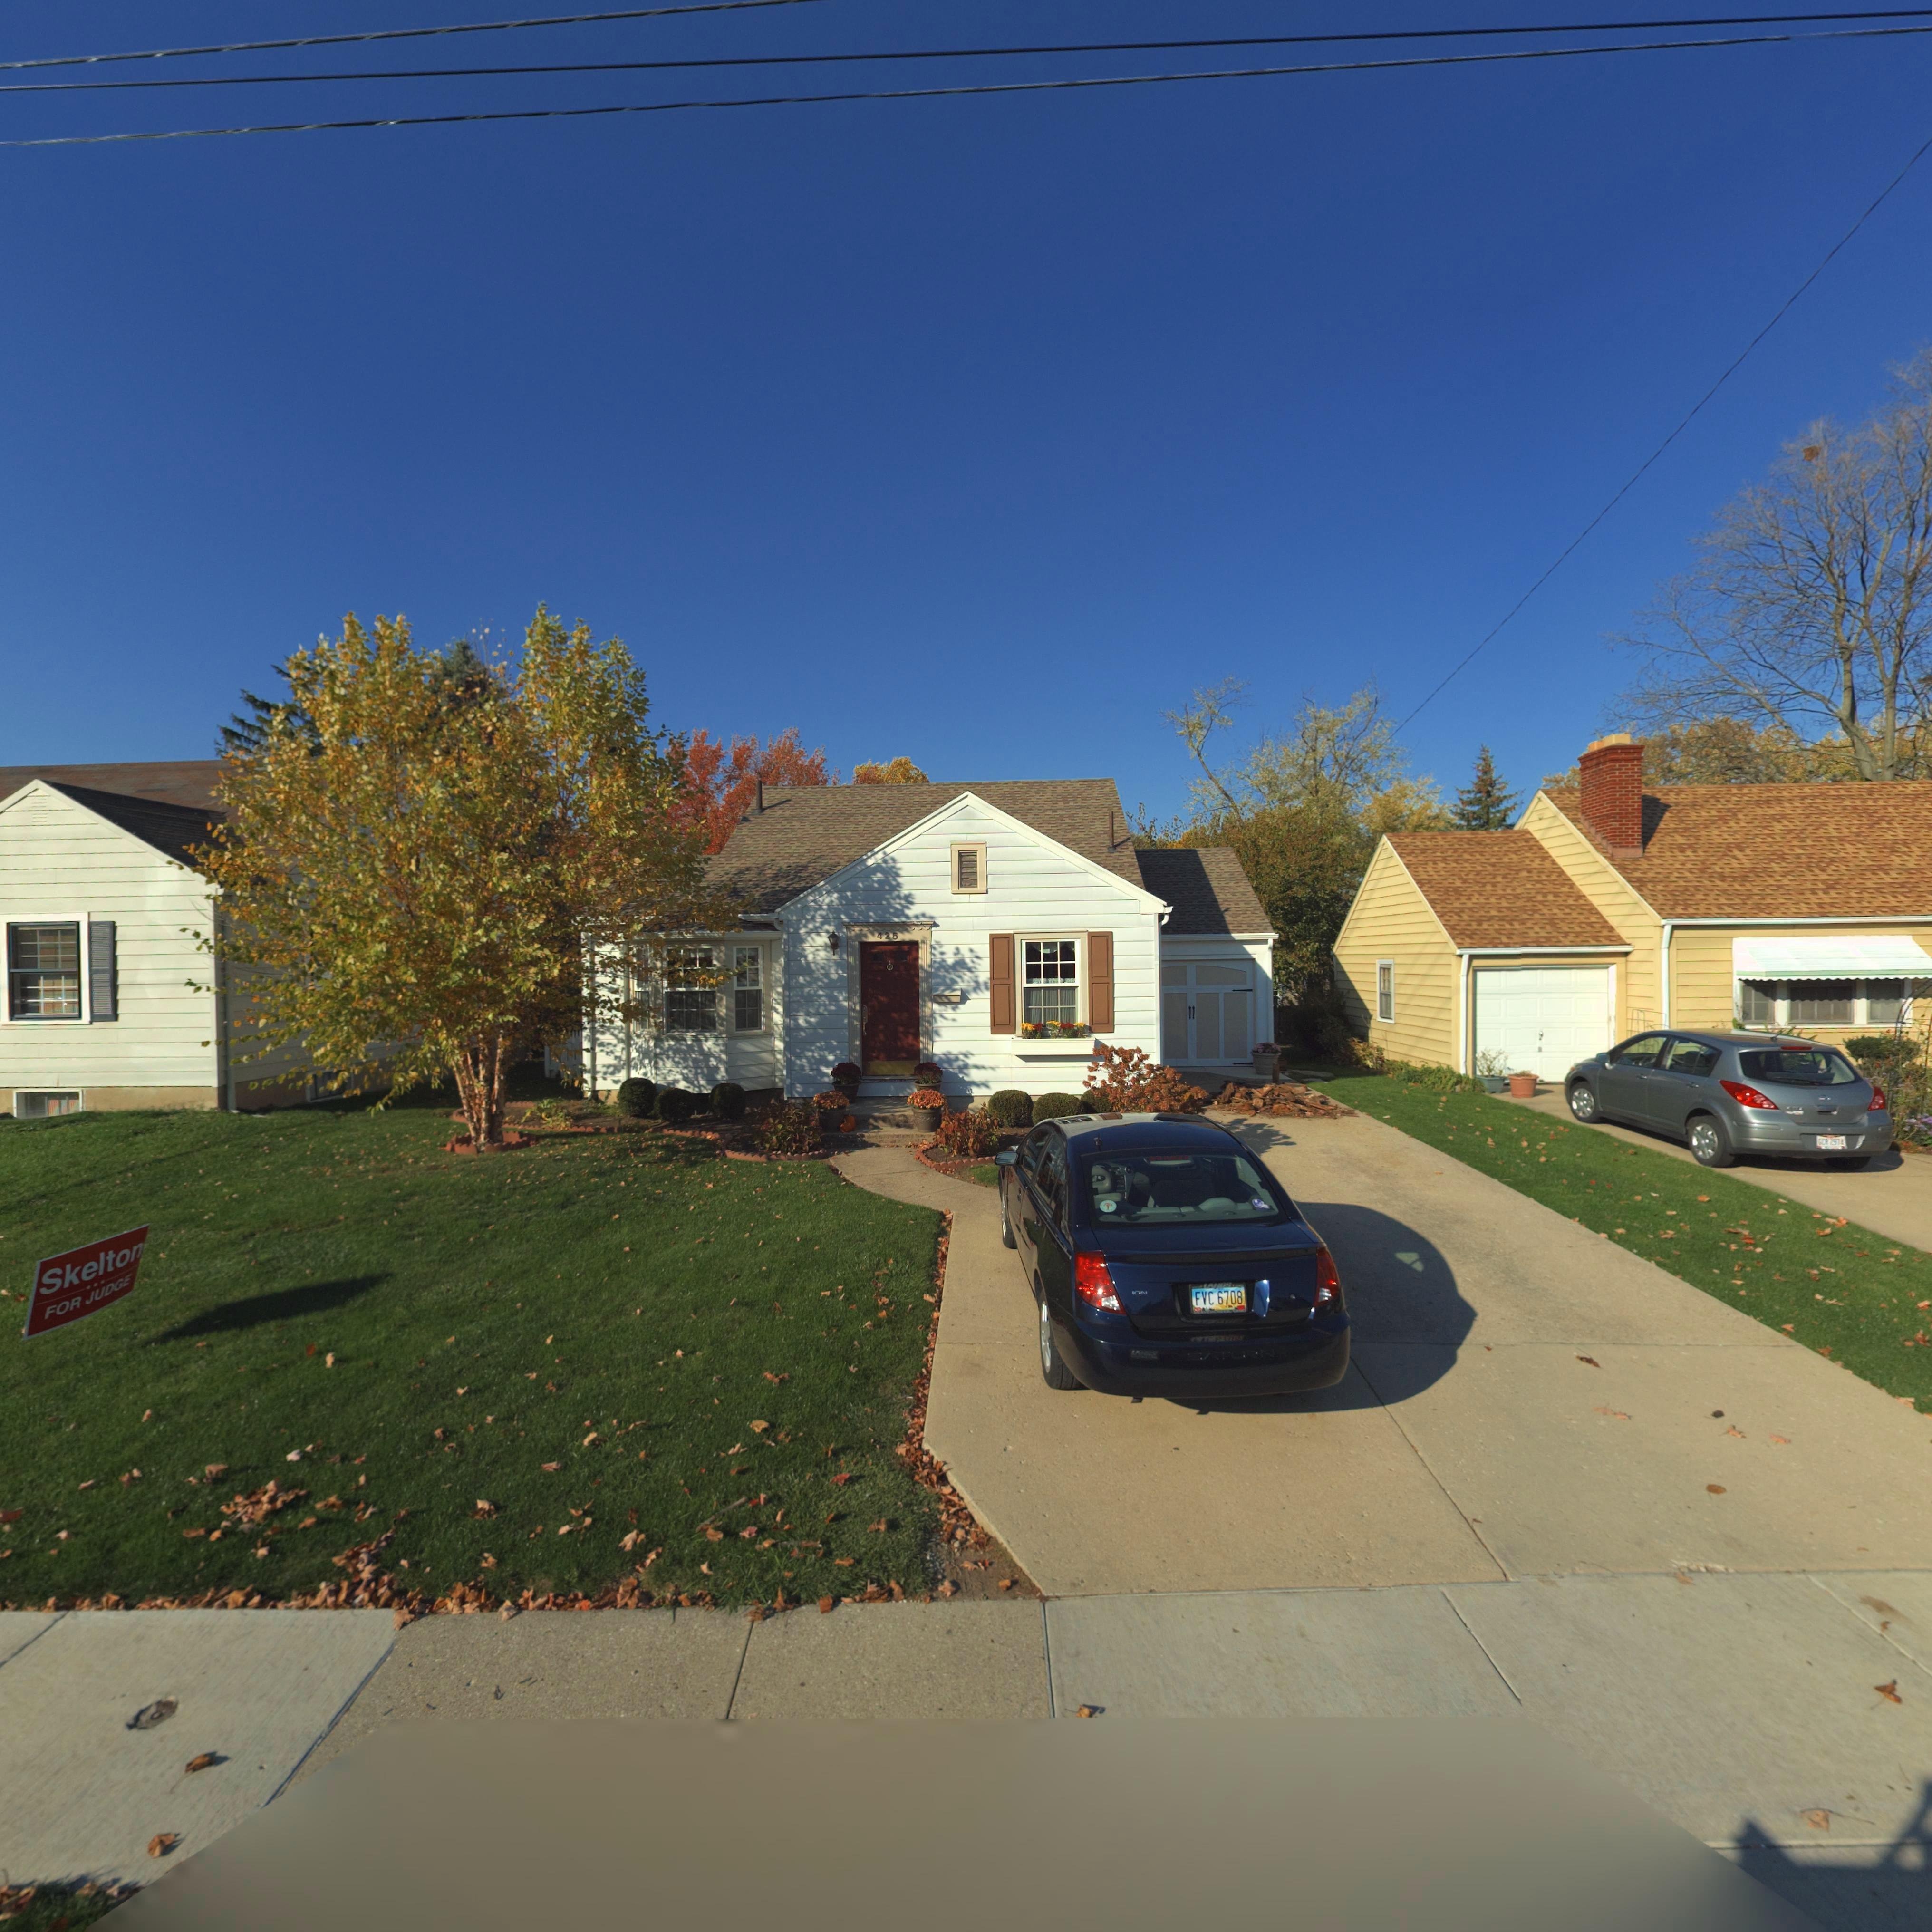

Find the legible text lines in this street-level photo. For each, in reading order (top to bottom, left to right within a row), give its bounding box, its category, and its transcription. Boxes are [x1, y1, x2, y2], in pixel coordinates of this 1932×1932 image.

[876, 932, 898, 940] StreetNumber: 425